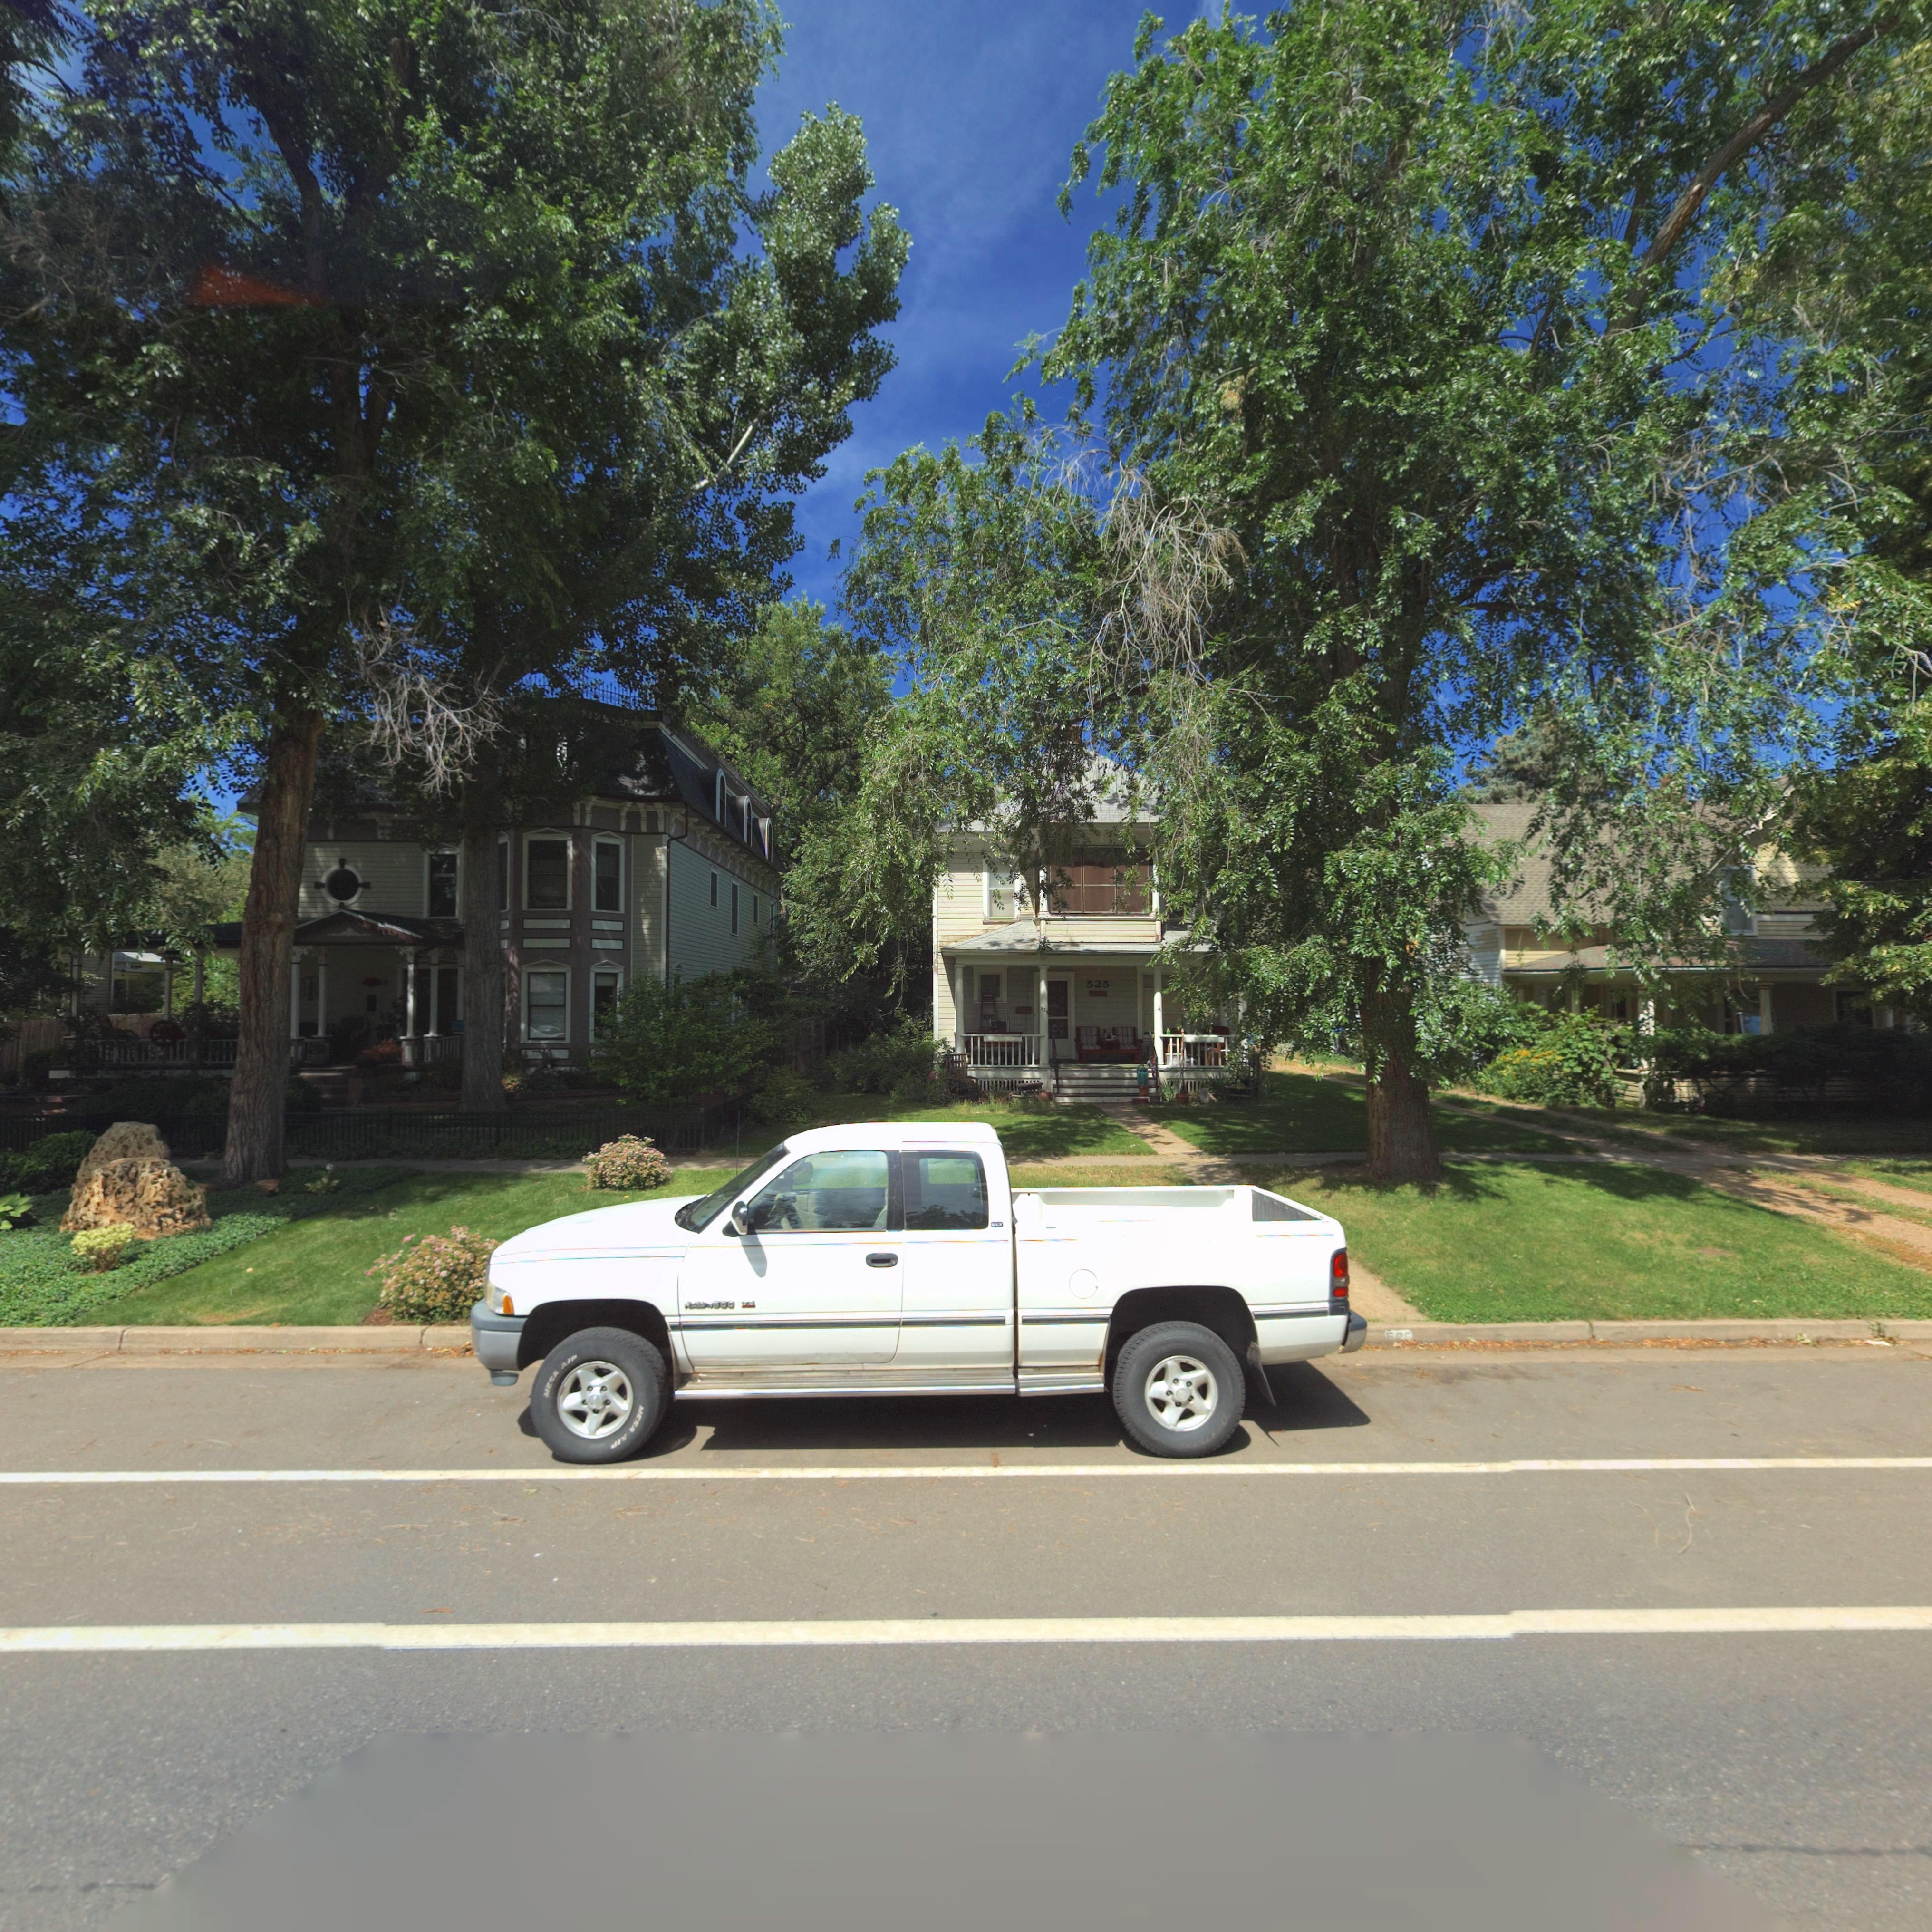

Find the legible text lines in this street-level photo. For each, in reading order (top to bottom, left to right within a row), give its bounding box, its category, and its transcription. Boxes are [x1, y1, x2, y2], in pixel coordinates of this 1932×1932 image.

[1086, 980, 1109, 988] StreetNumber: 525
[1041, 1006, 1048, 1014] StreetNumber: 52*